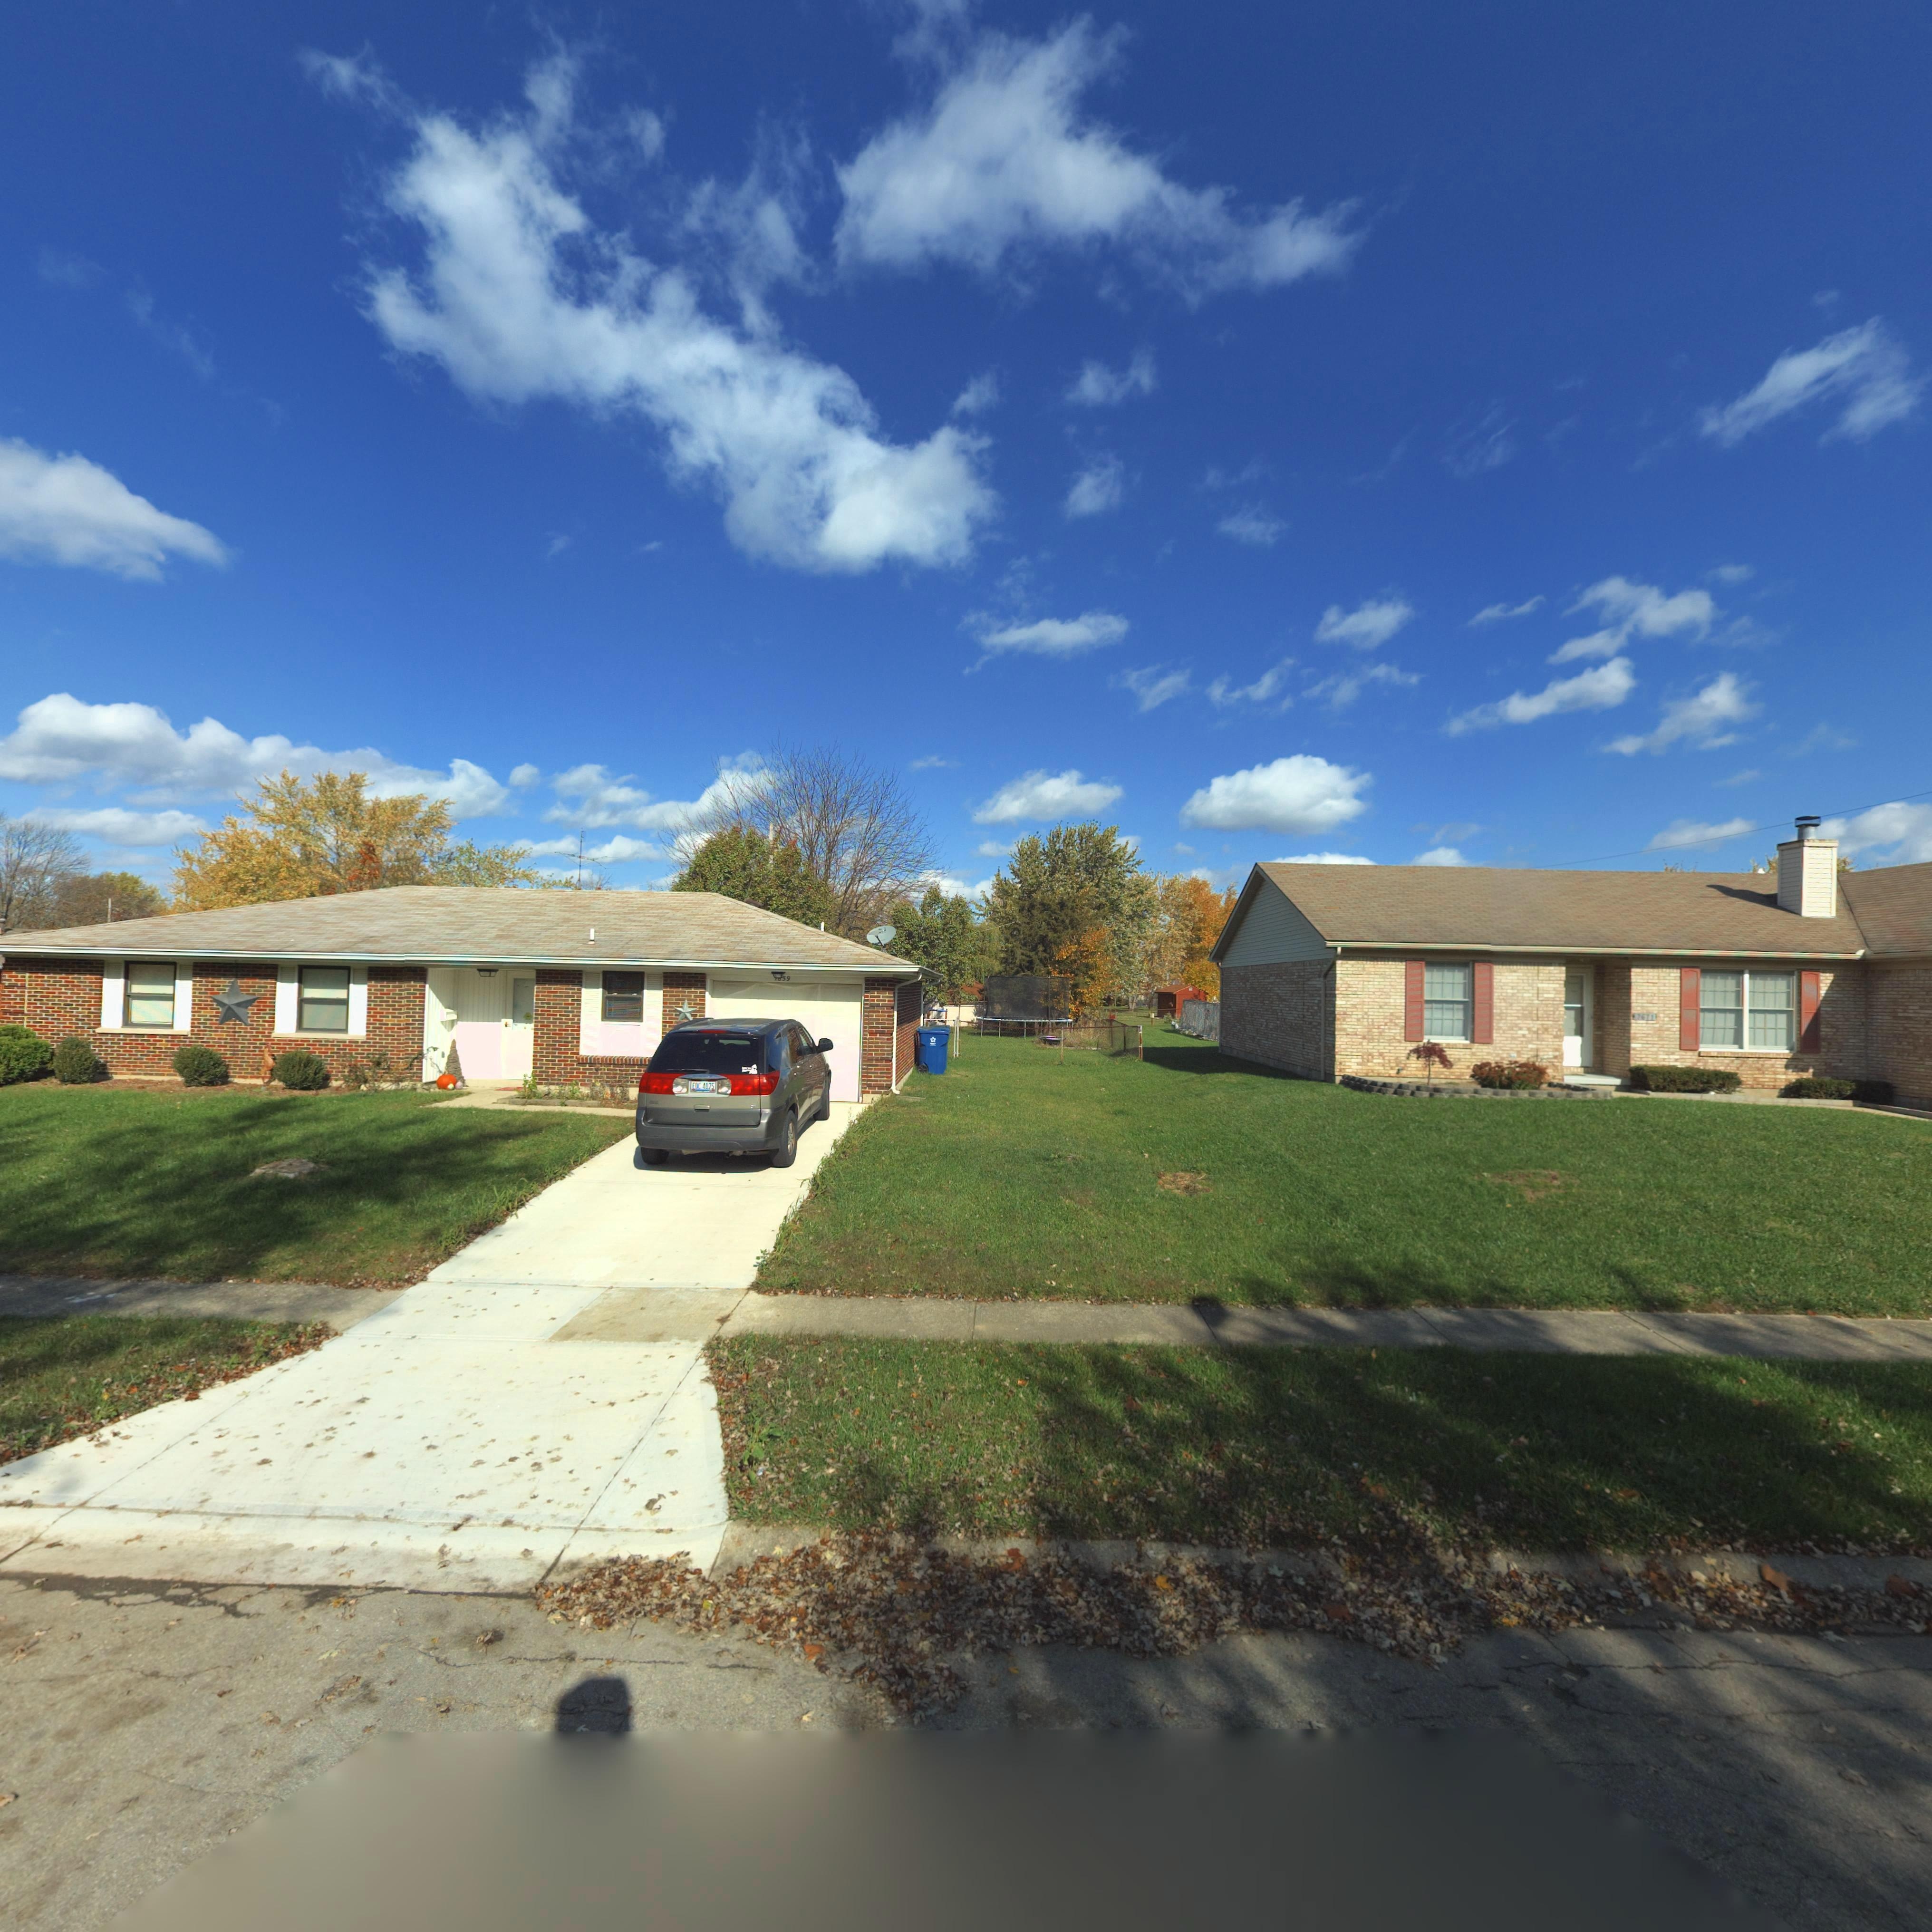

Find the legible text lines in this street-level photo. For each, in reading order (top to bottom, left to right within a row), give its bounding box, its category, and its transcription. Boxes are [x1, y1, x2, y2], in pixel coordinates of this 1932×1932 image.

[782, 976, 791, 982] StreetNumber: 59
[1636, 1013, 1654, 1021] StreetNumber: 7671